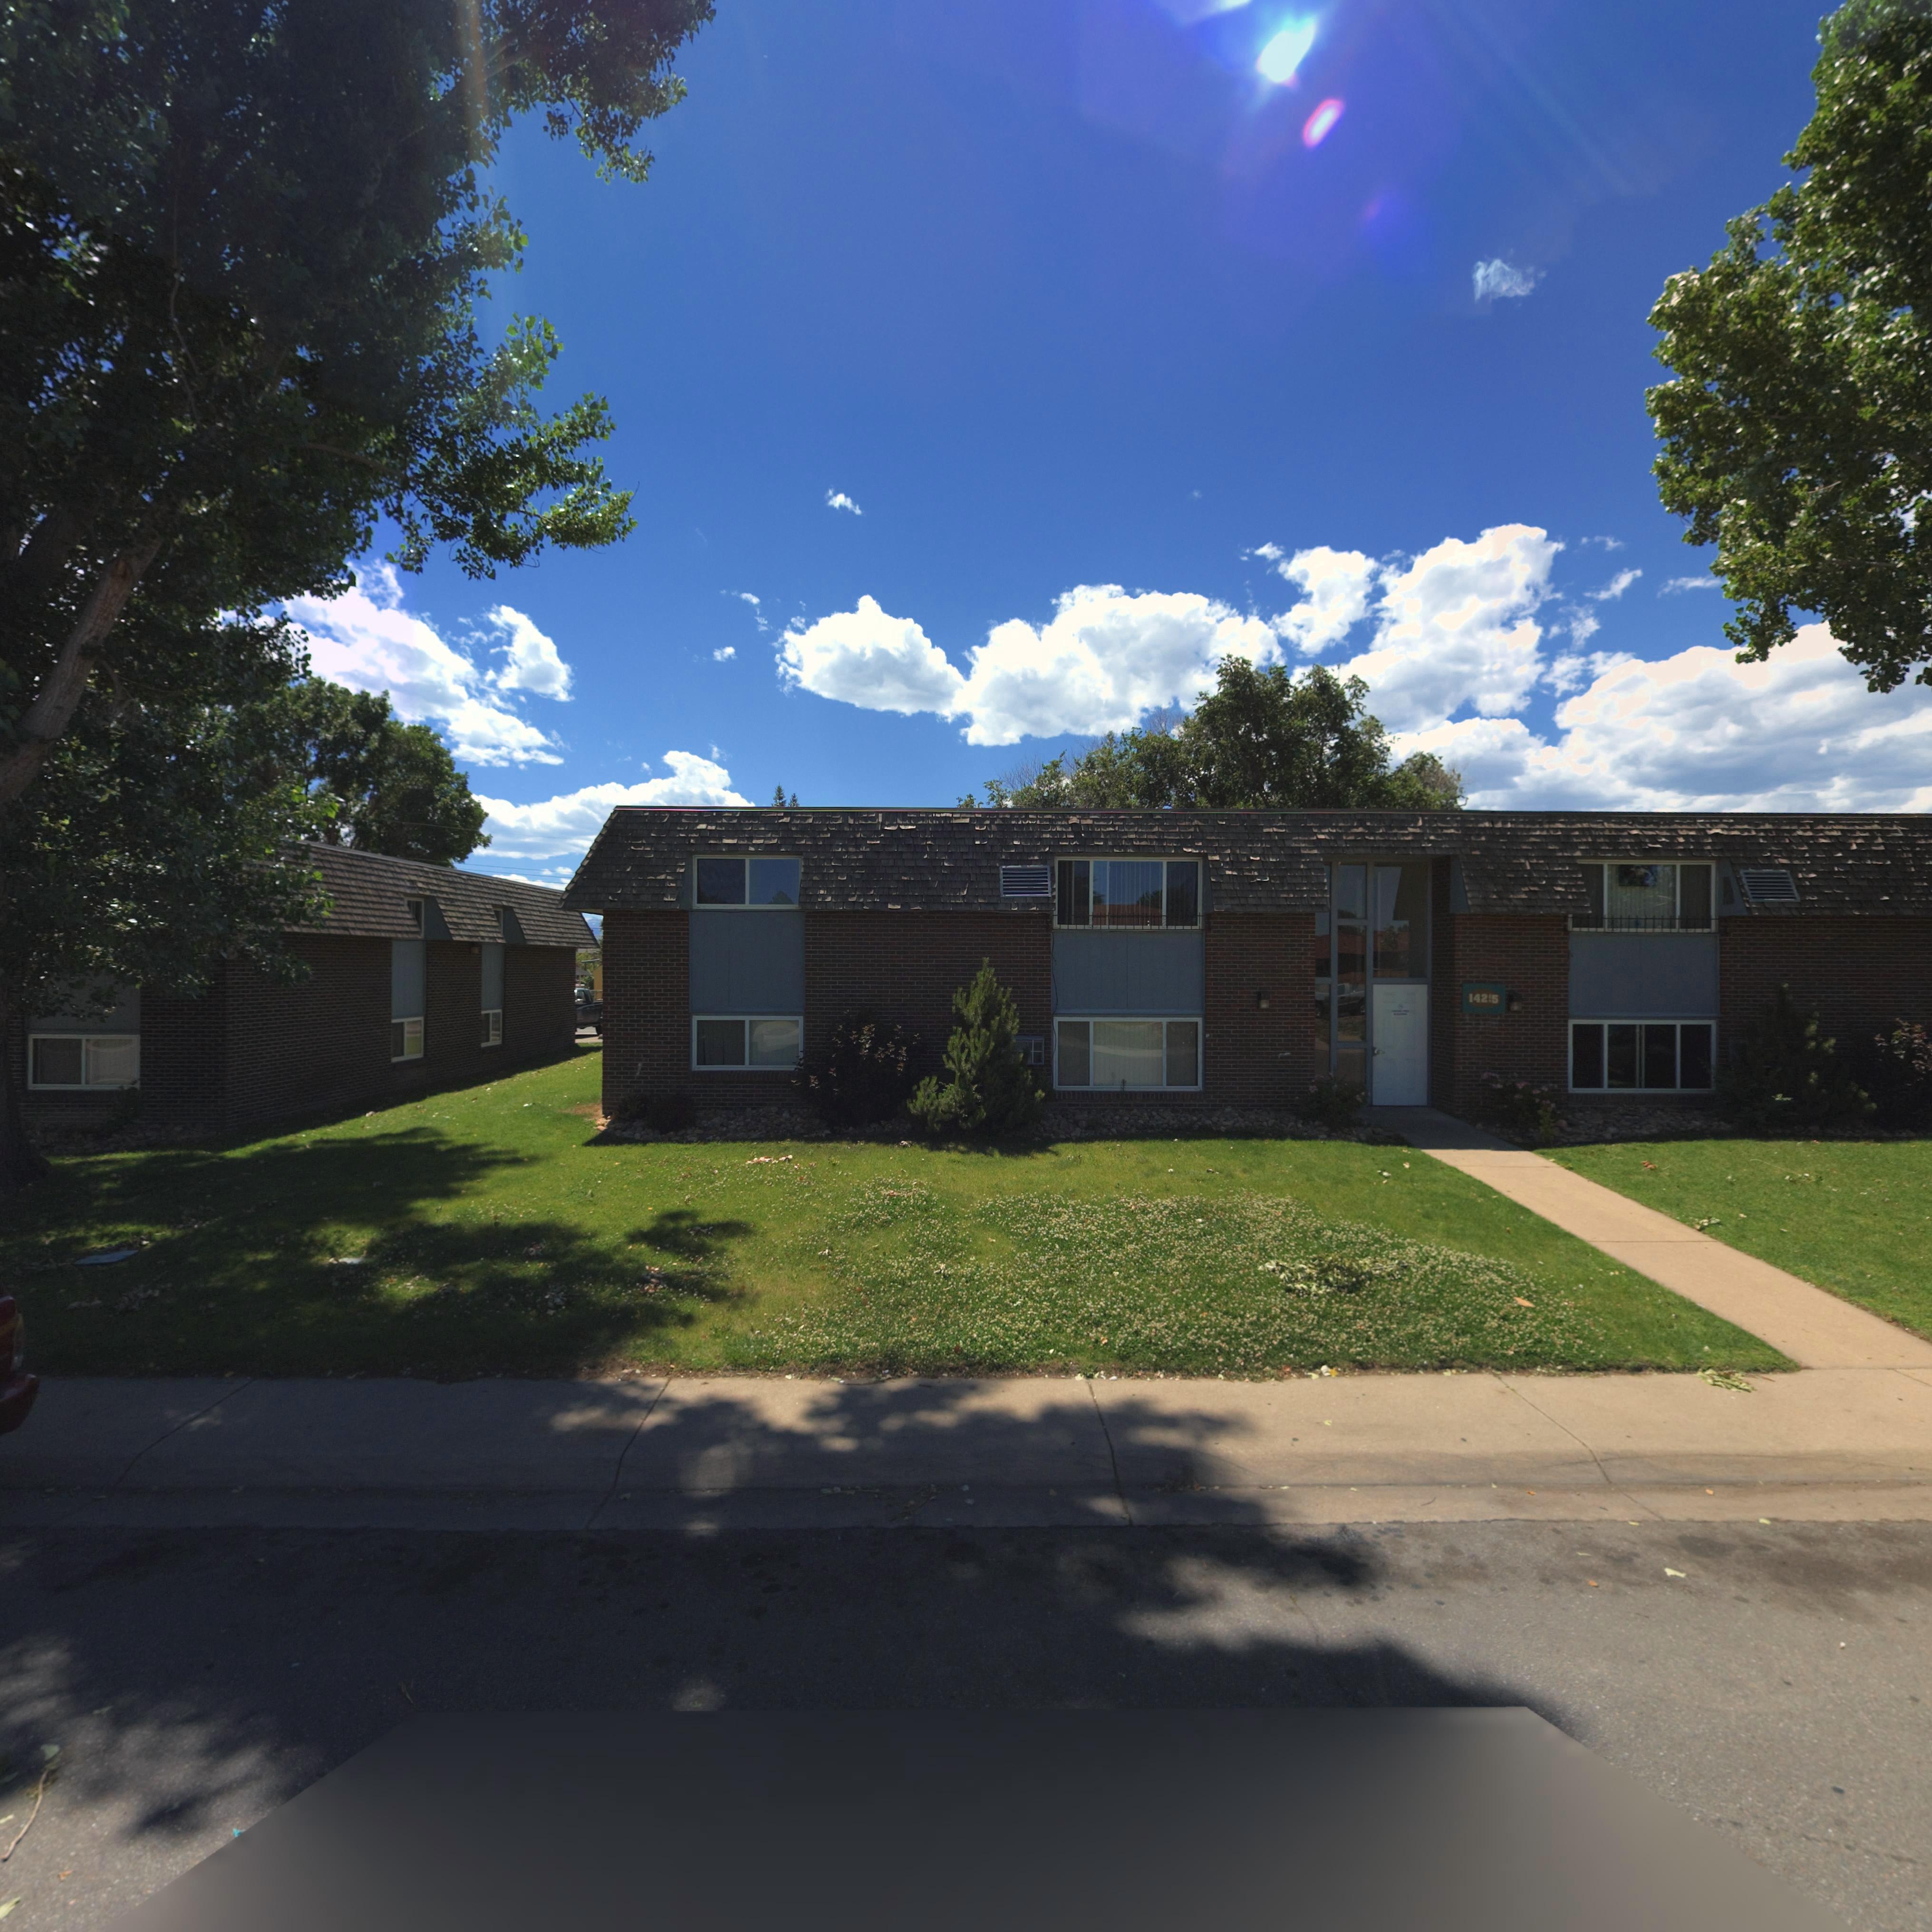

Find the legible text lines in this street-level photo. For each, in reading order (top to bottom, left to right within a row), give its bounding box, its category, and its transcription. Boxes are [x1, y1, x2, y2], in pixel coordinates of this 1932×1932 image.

[1468, 992, 1499, 1004] StreetNumber: 142*5